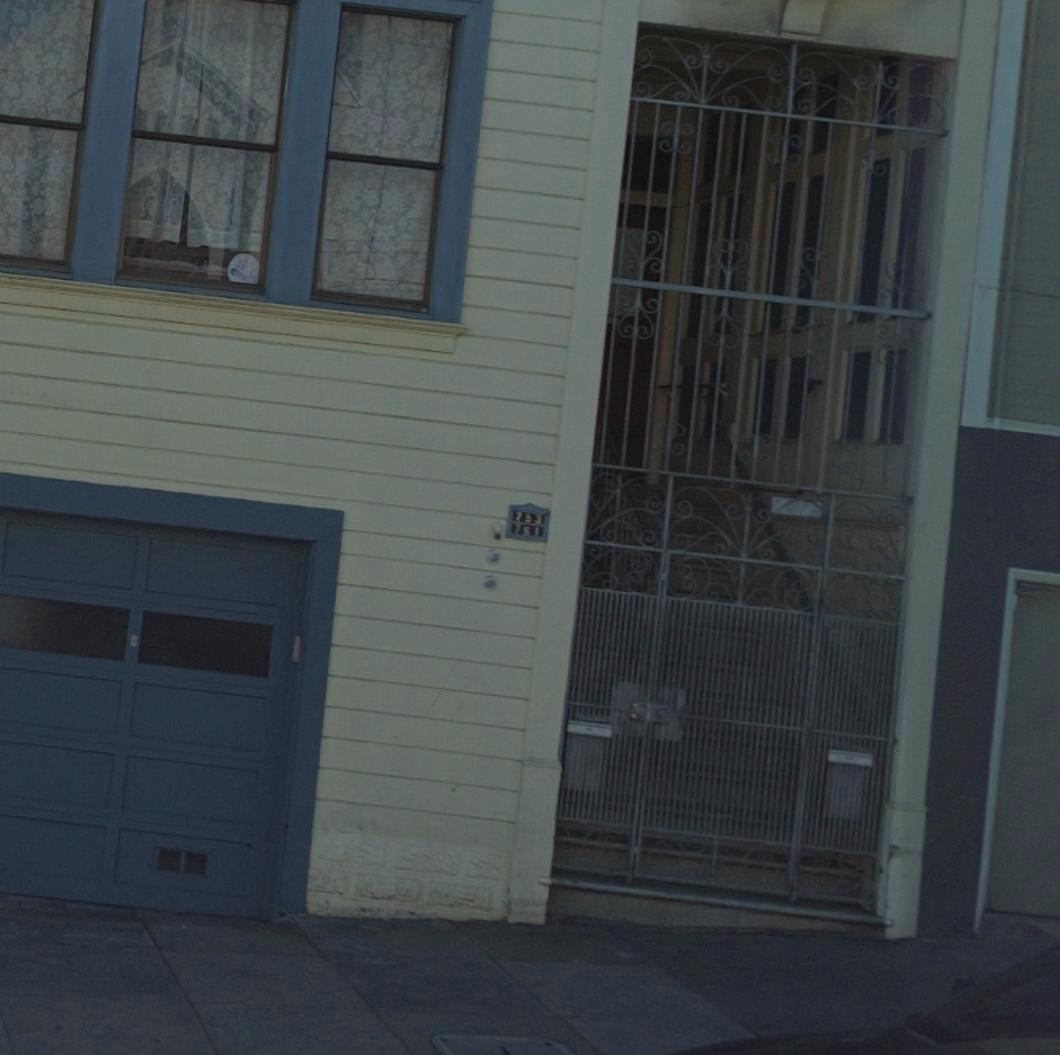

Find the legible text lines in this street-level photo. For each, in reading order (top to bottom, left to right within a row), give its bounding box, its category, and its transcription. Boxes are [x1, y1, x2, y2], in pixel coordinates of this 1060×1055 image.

[514, 510, 544, 525] StreetNumber: 753
[514, 523, 542, 538] StreetNumber: 751